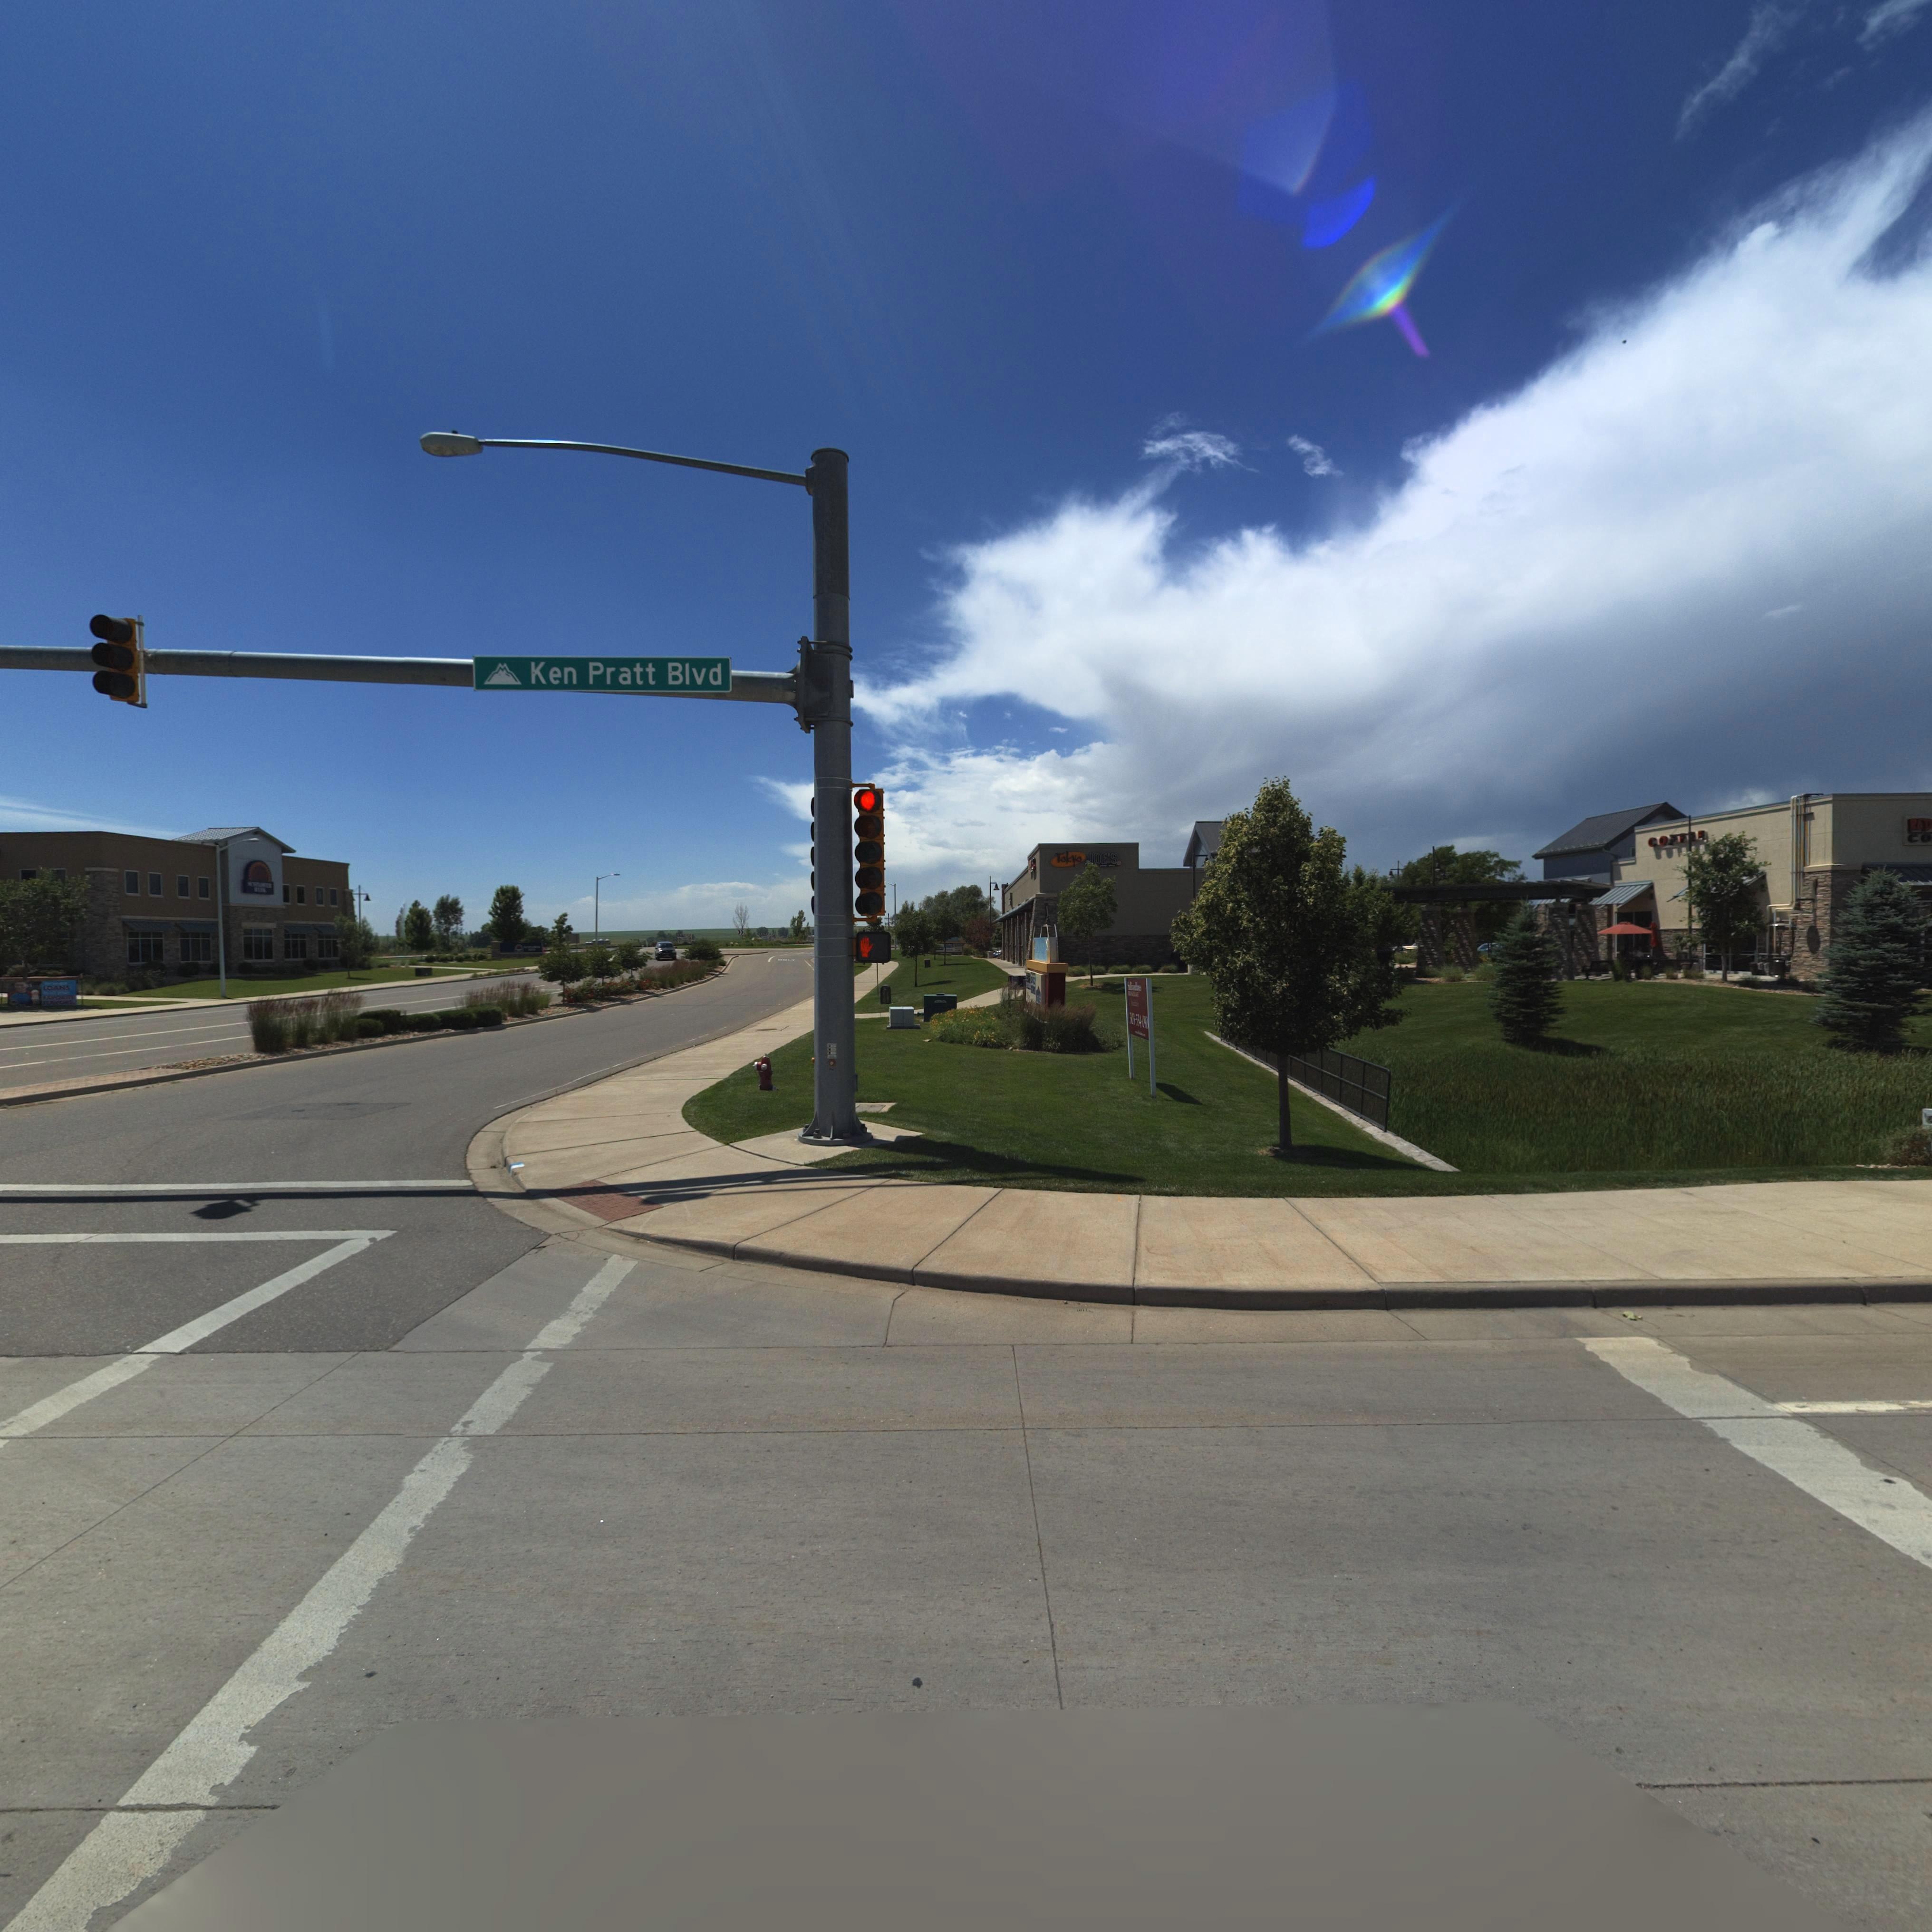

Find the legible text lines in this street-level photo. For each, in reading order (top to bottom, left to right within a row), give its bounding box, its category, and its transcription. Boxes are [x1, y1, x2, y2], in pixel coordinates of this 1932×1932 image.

[529, 659, 724, 686] StreetName: Ken Pratt Blvd
[1907, 817, 1926, 833] BusinessName: RE
[1906, 832, 1931, 843] BusinessName: CO
[1054, 850, 1119, 868] BusinessName: Tokyo JOE*S
[247, 880, 272, 889] BusinessName: SU*****ER
[253, 886, 267, 893] BusinessName: *A*K
[945, 943, 953, 948] BusinessName: *OS*